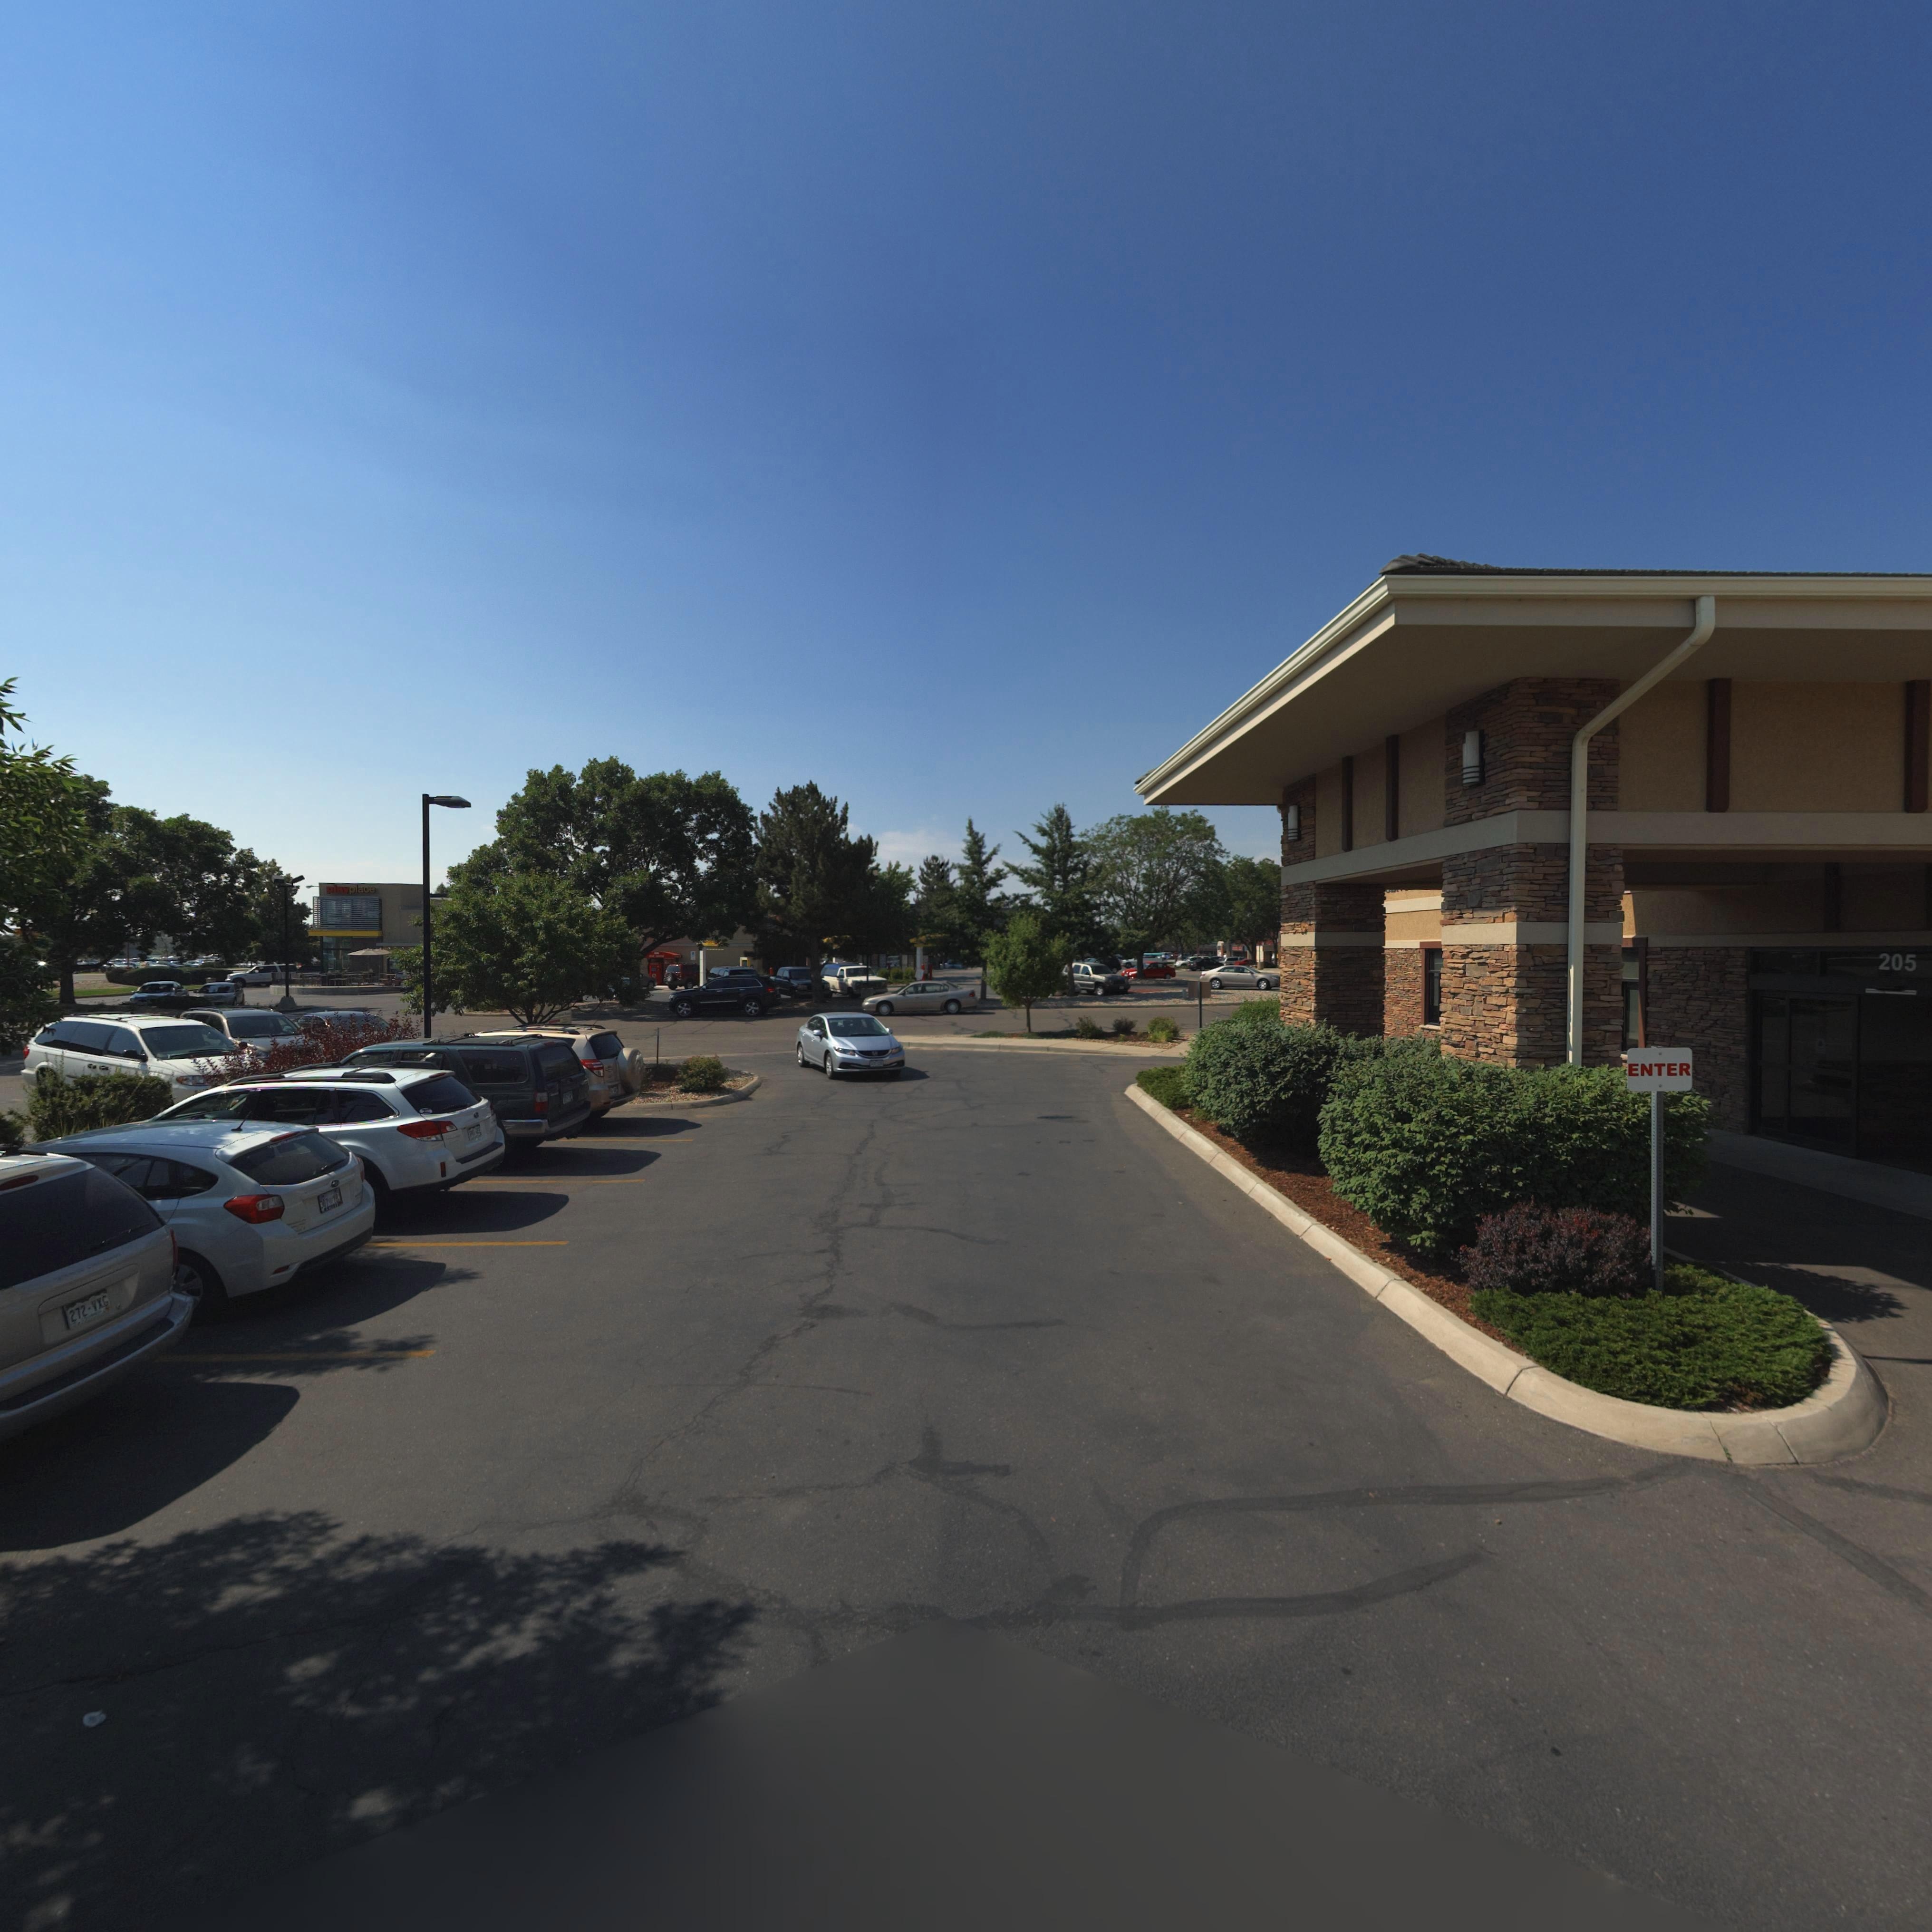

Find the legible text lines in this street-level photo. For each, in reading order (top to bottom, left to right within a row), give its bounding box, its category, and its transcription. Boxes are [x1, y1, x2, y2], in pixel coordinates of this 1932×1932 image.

[1876, 952, 1917, 972] StreetNumber: 205